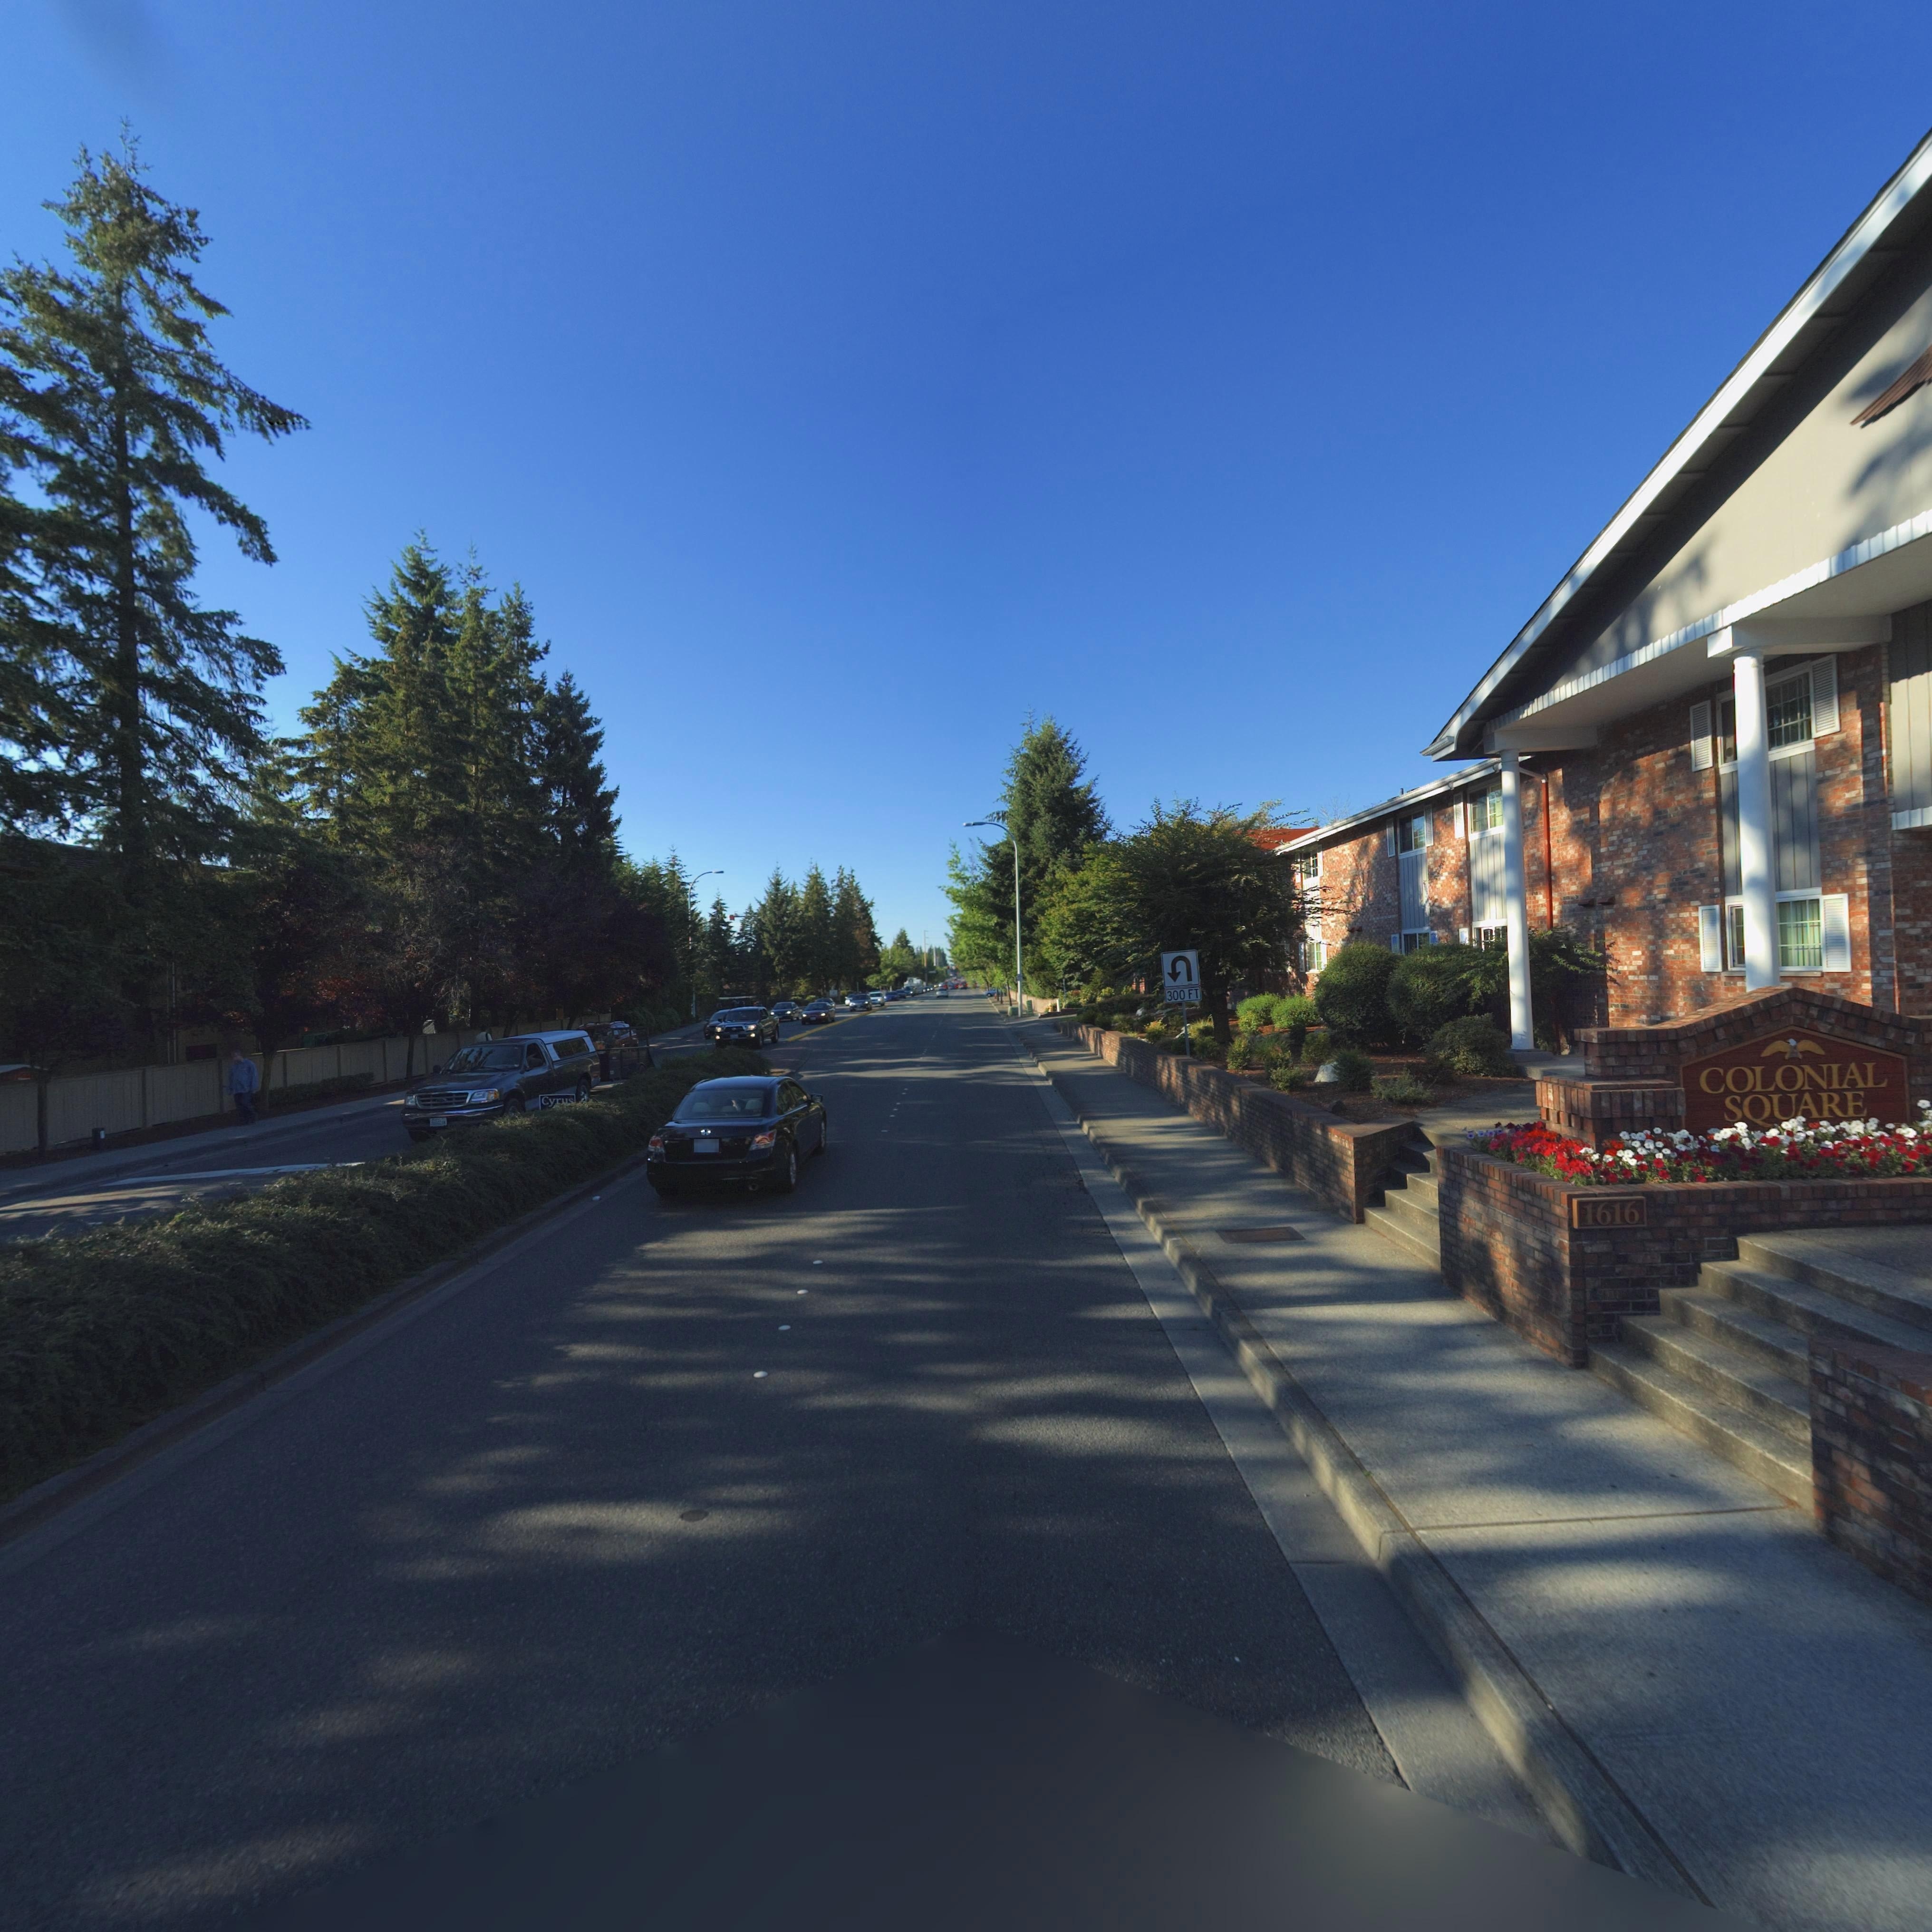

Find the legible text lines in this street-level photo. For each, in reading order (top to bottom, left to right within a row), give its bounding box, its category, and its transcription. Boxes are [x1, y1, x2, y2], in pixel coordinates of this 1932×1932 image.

[1584, 1201, 1639, 1225] StreetNumber: 1616